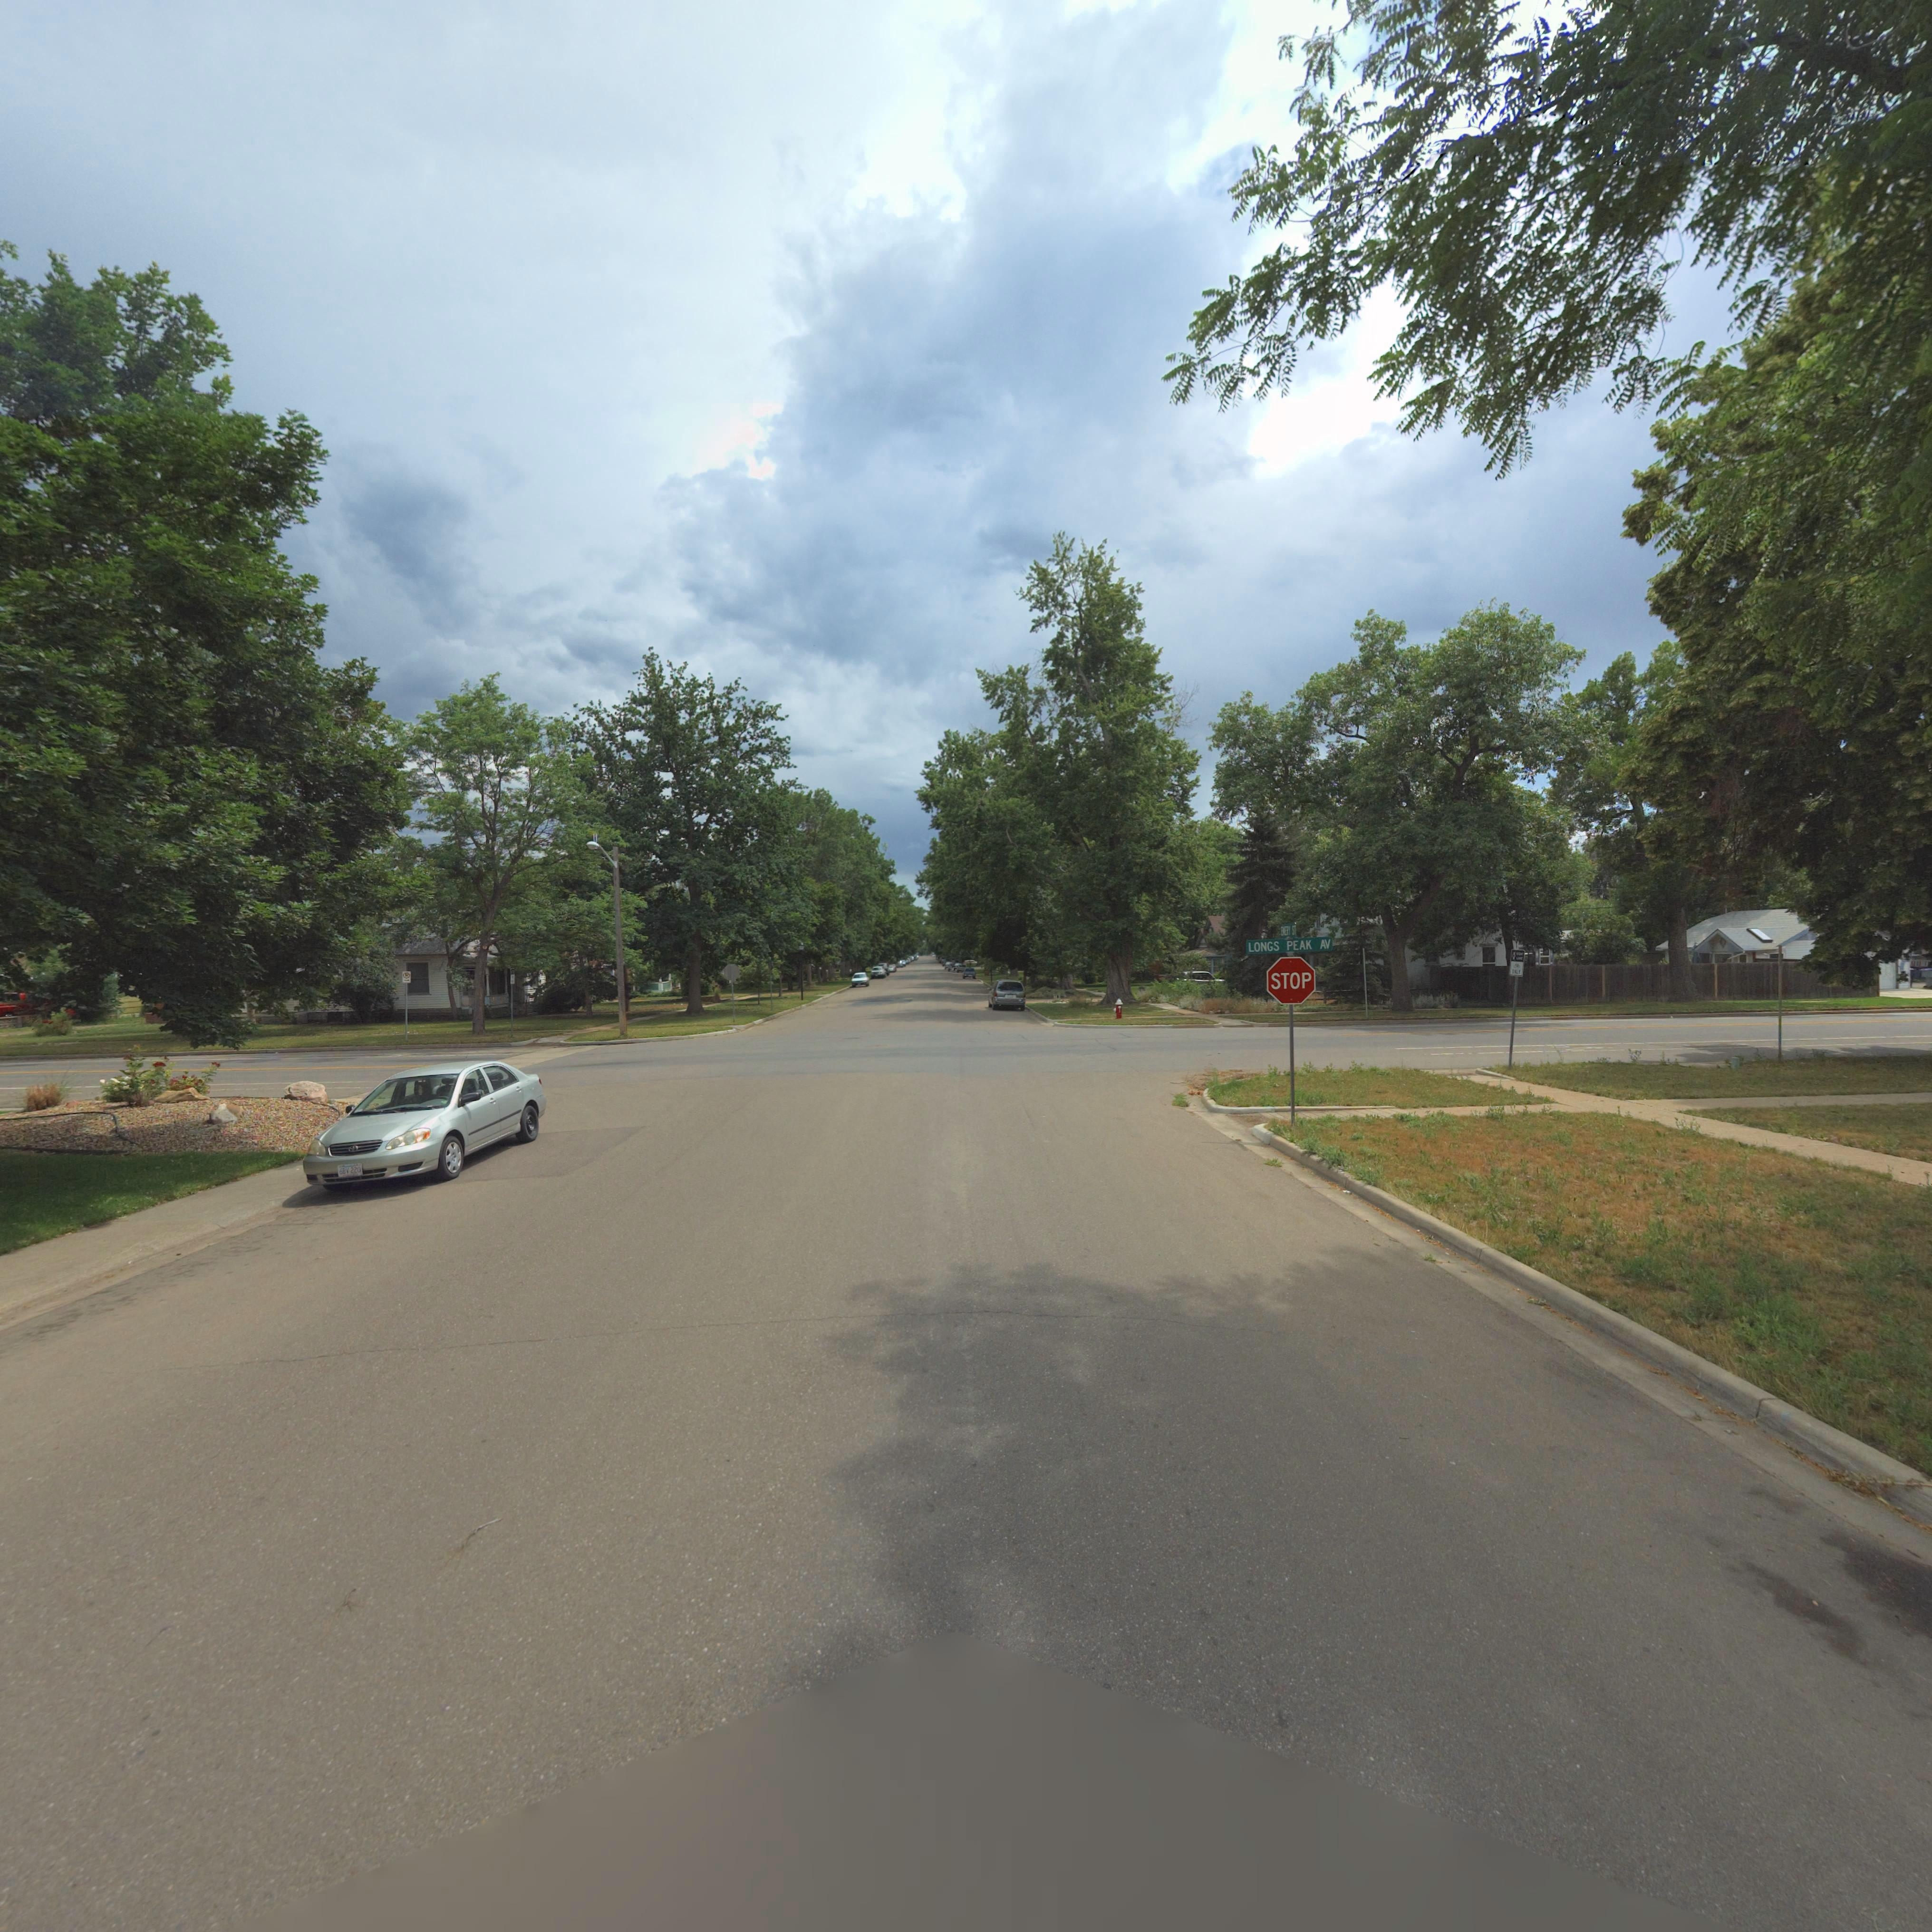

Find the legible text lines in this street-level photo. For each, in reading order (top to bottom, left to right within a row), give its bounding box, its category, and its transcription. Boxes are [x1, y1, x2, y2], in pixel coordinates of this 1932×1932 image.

[1280, 925, 1296, 936] StreetName: E*ERY ST
[1248, 938, 1331, 952] StreetName: LONGS PEAK